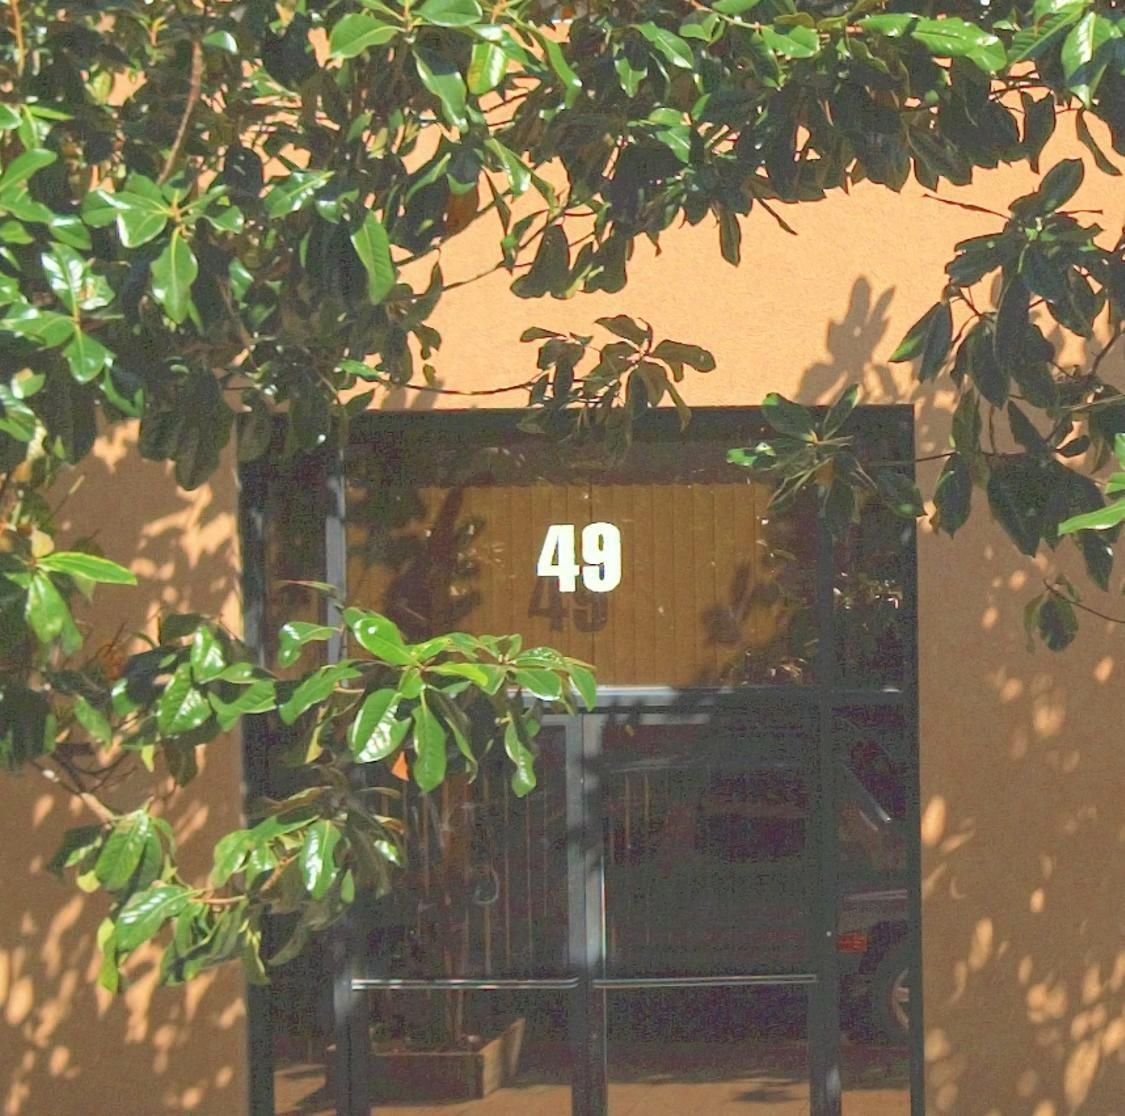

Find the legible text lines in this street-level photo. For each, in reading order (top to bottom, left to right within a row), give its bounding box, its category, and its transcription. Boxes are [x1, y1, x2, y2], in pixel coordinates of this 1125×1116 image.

[527, 517, 627, 600] StreetNumber: 49